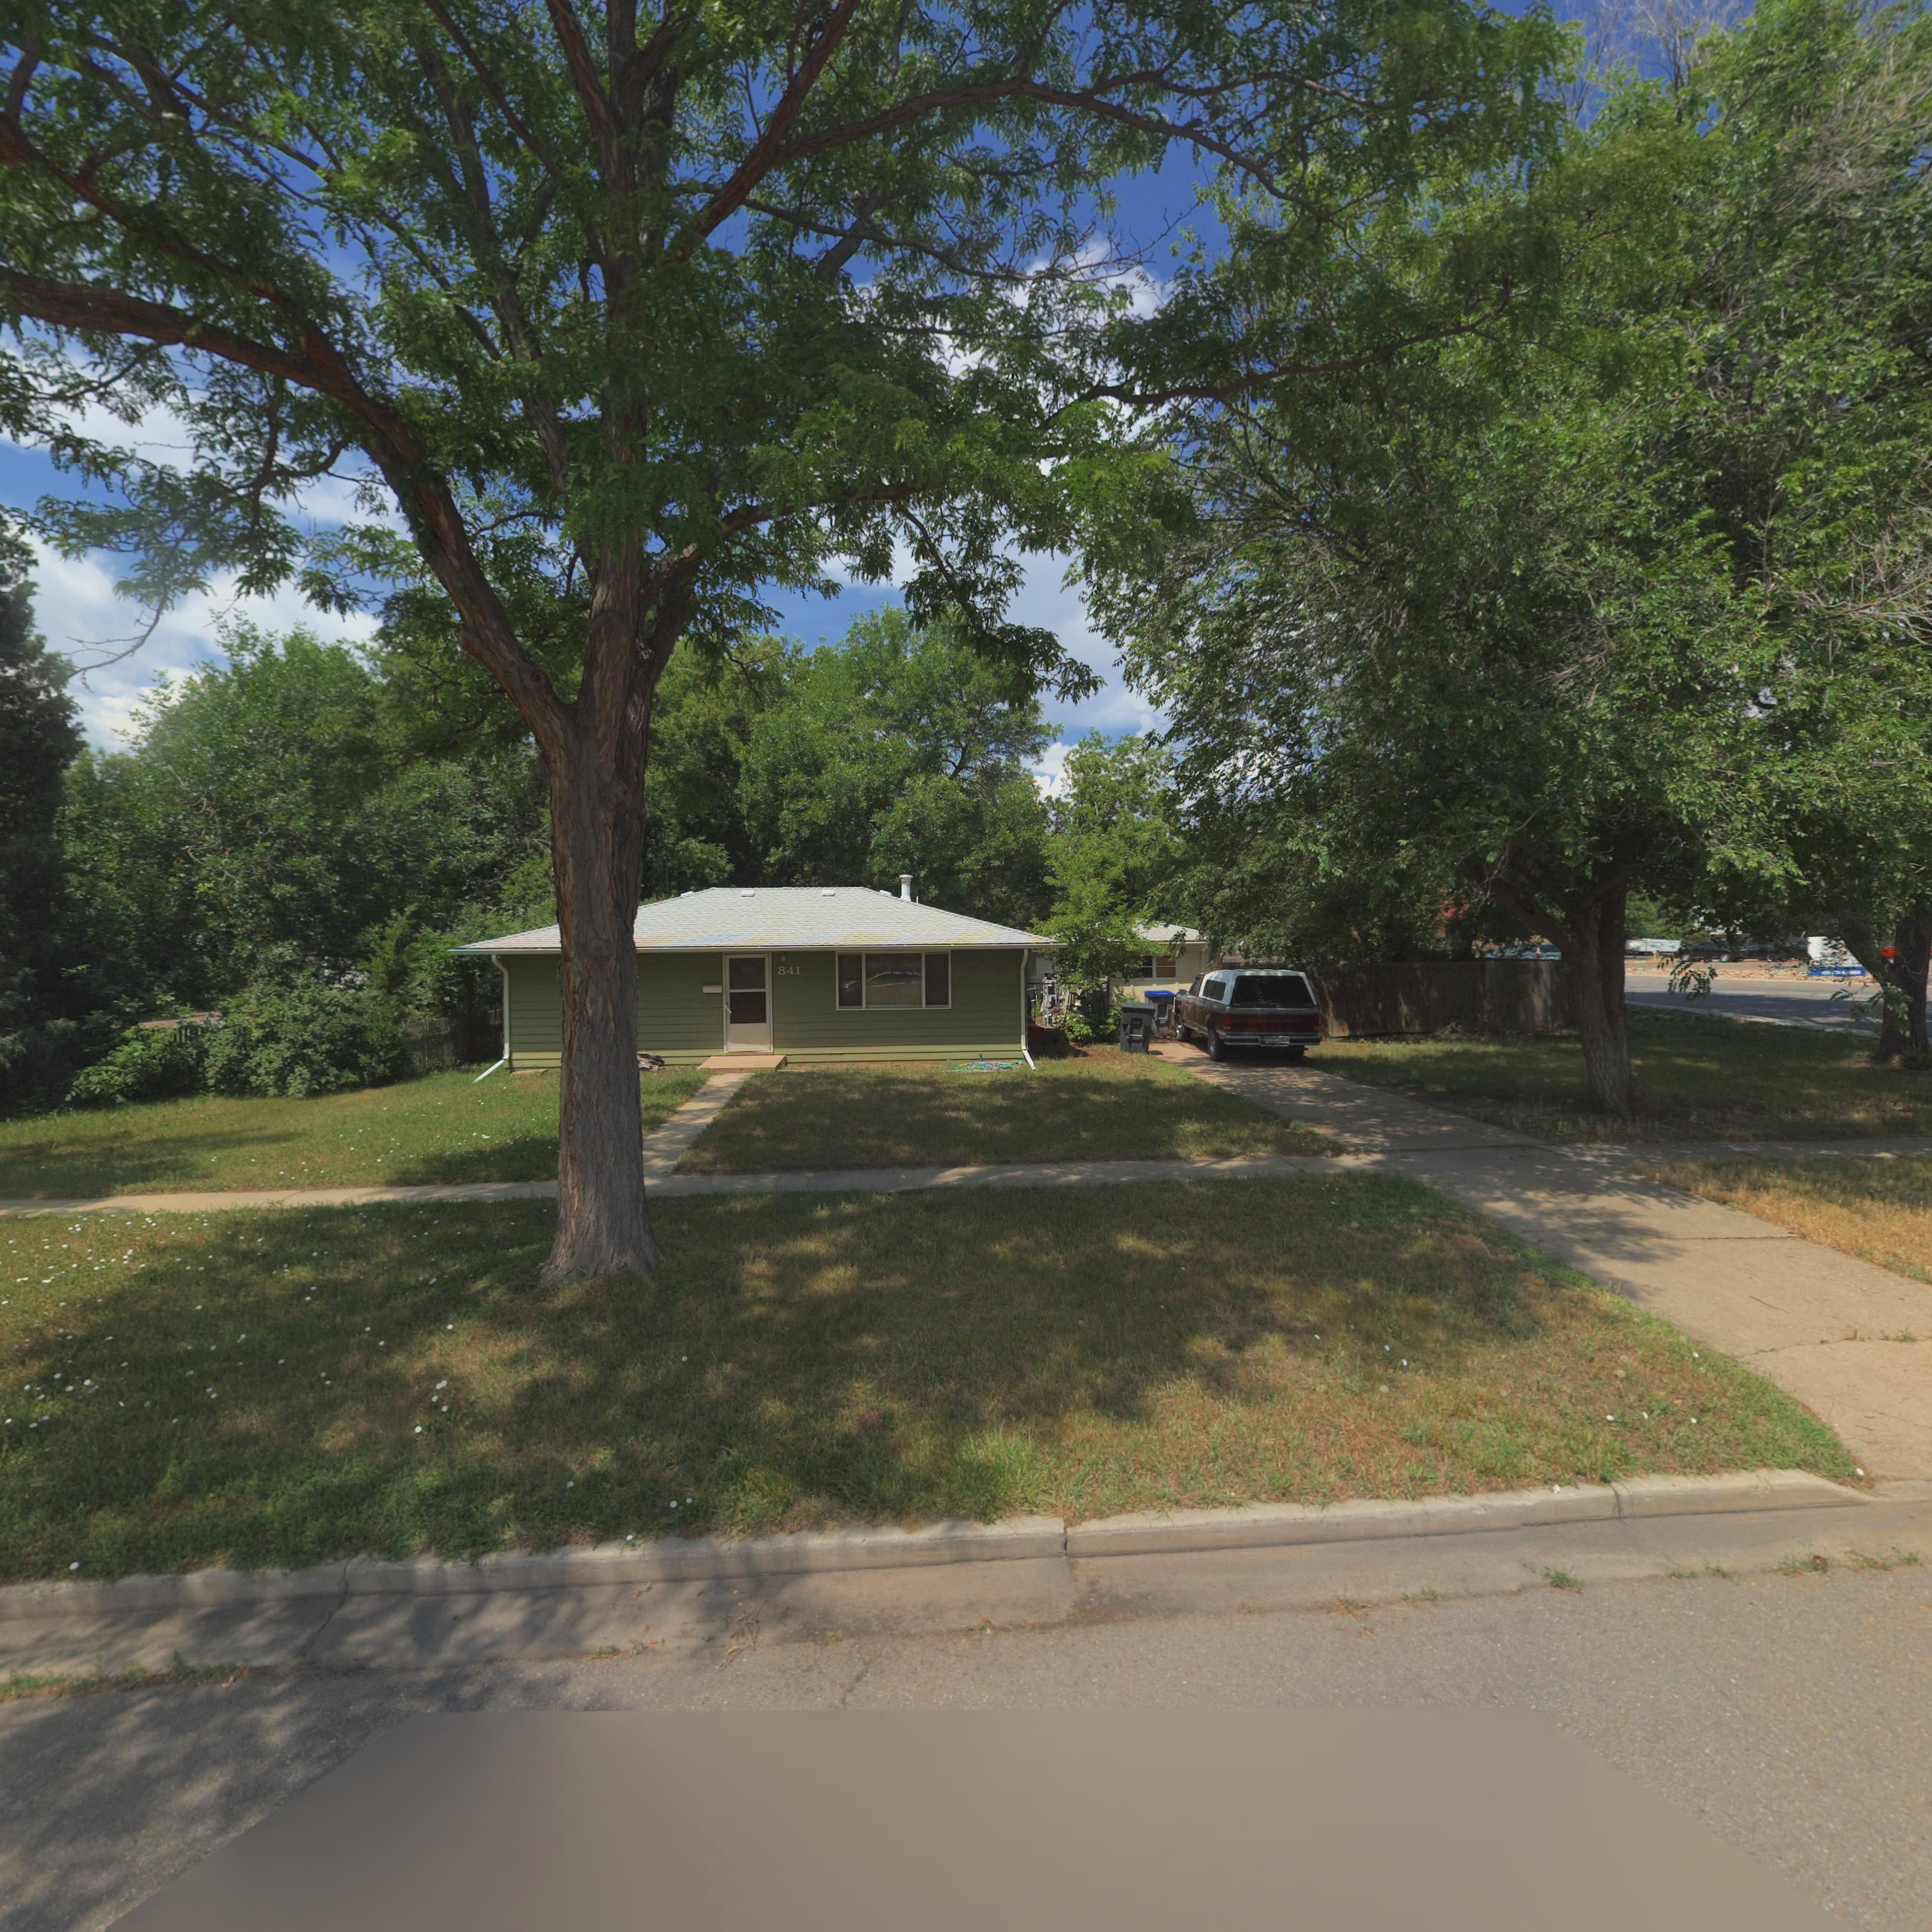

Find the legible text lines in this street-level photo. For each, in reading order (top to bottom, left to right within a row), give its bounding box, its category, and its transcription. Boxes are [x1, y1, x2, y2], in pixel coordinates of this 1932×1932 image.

[776, 965, 802, 976] StreetNumber: 841